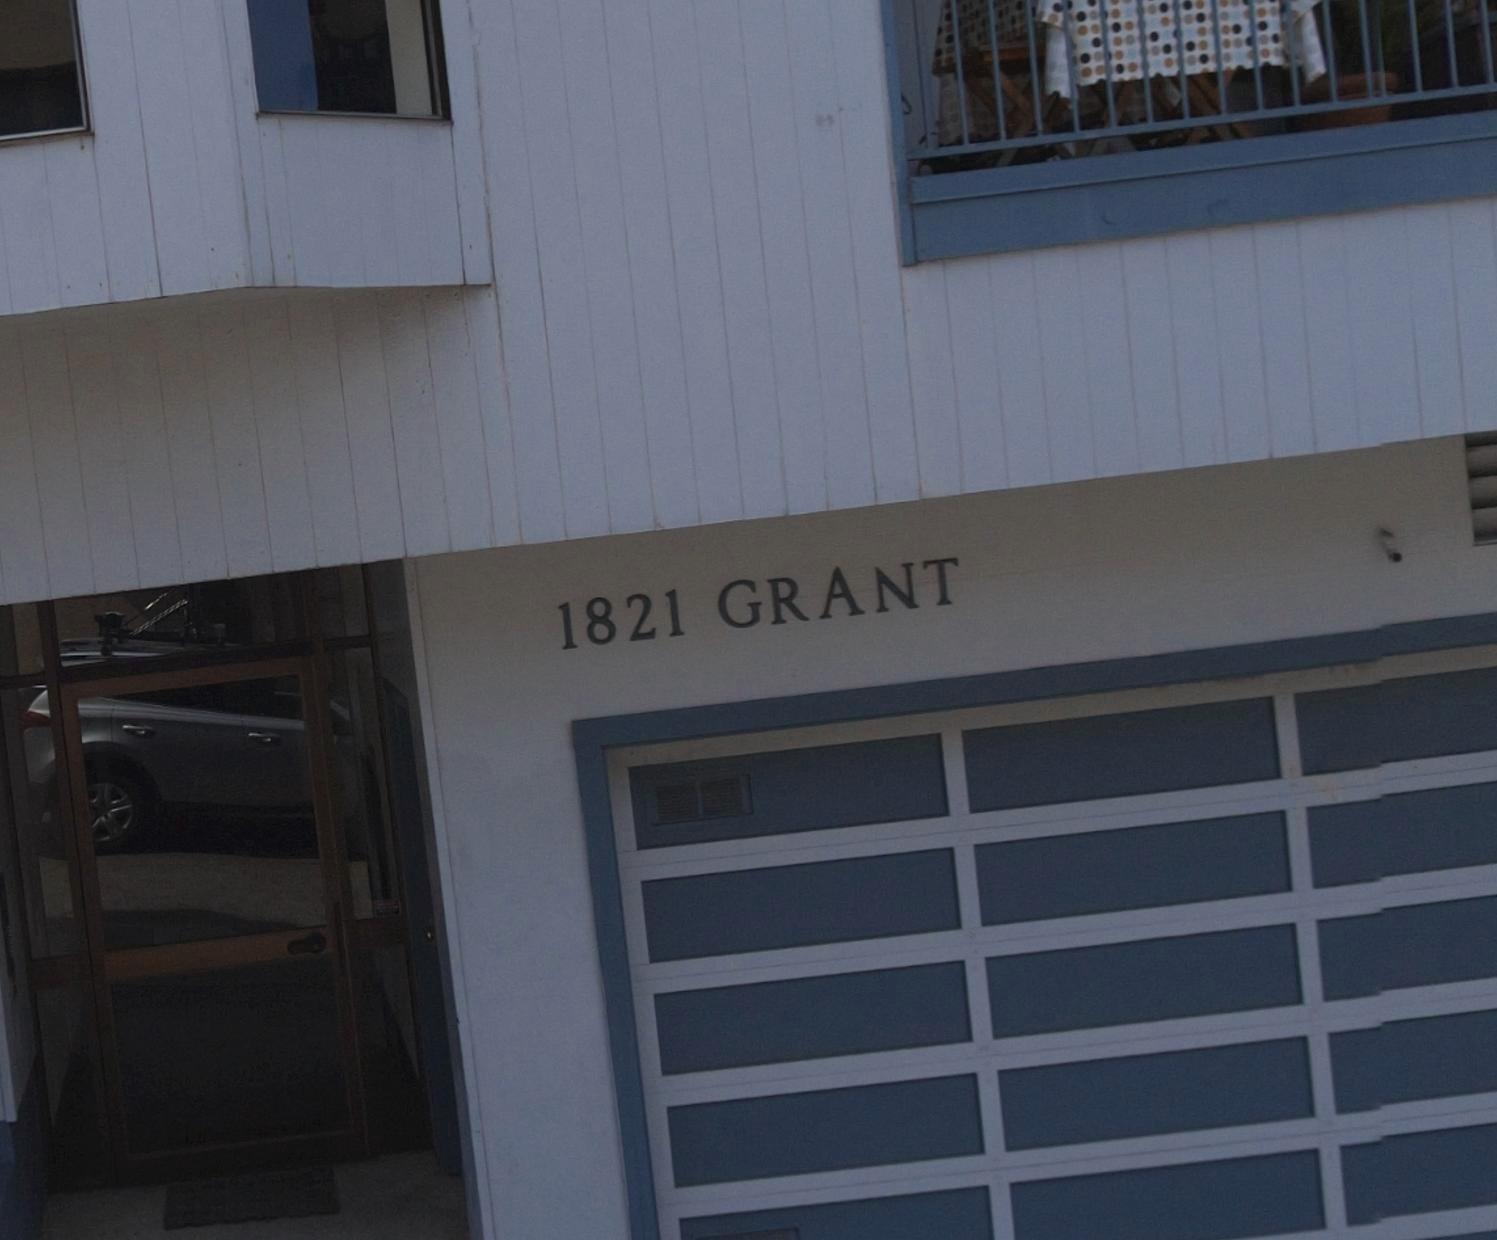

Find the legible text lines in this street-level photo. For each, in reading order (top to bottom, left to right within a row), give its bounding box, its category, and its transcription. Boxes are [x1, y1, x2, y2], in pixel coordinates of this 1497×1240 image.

[553, 586, 687, 653] StreetNumber: 1821
[715, 554, 964, 633] StreetName: GRANT